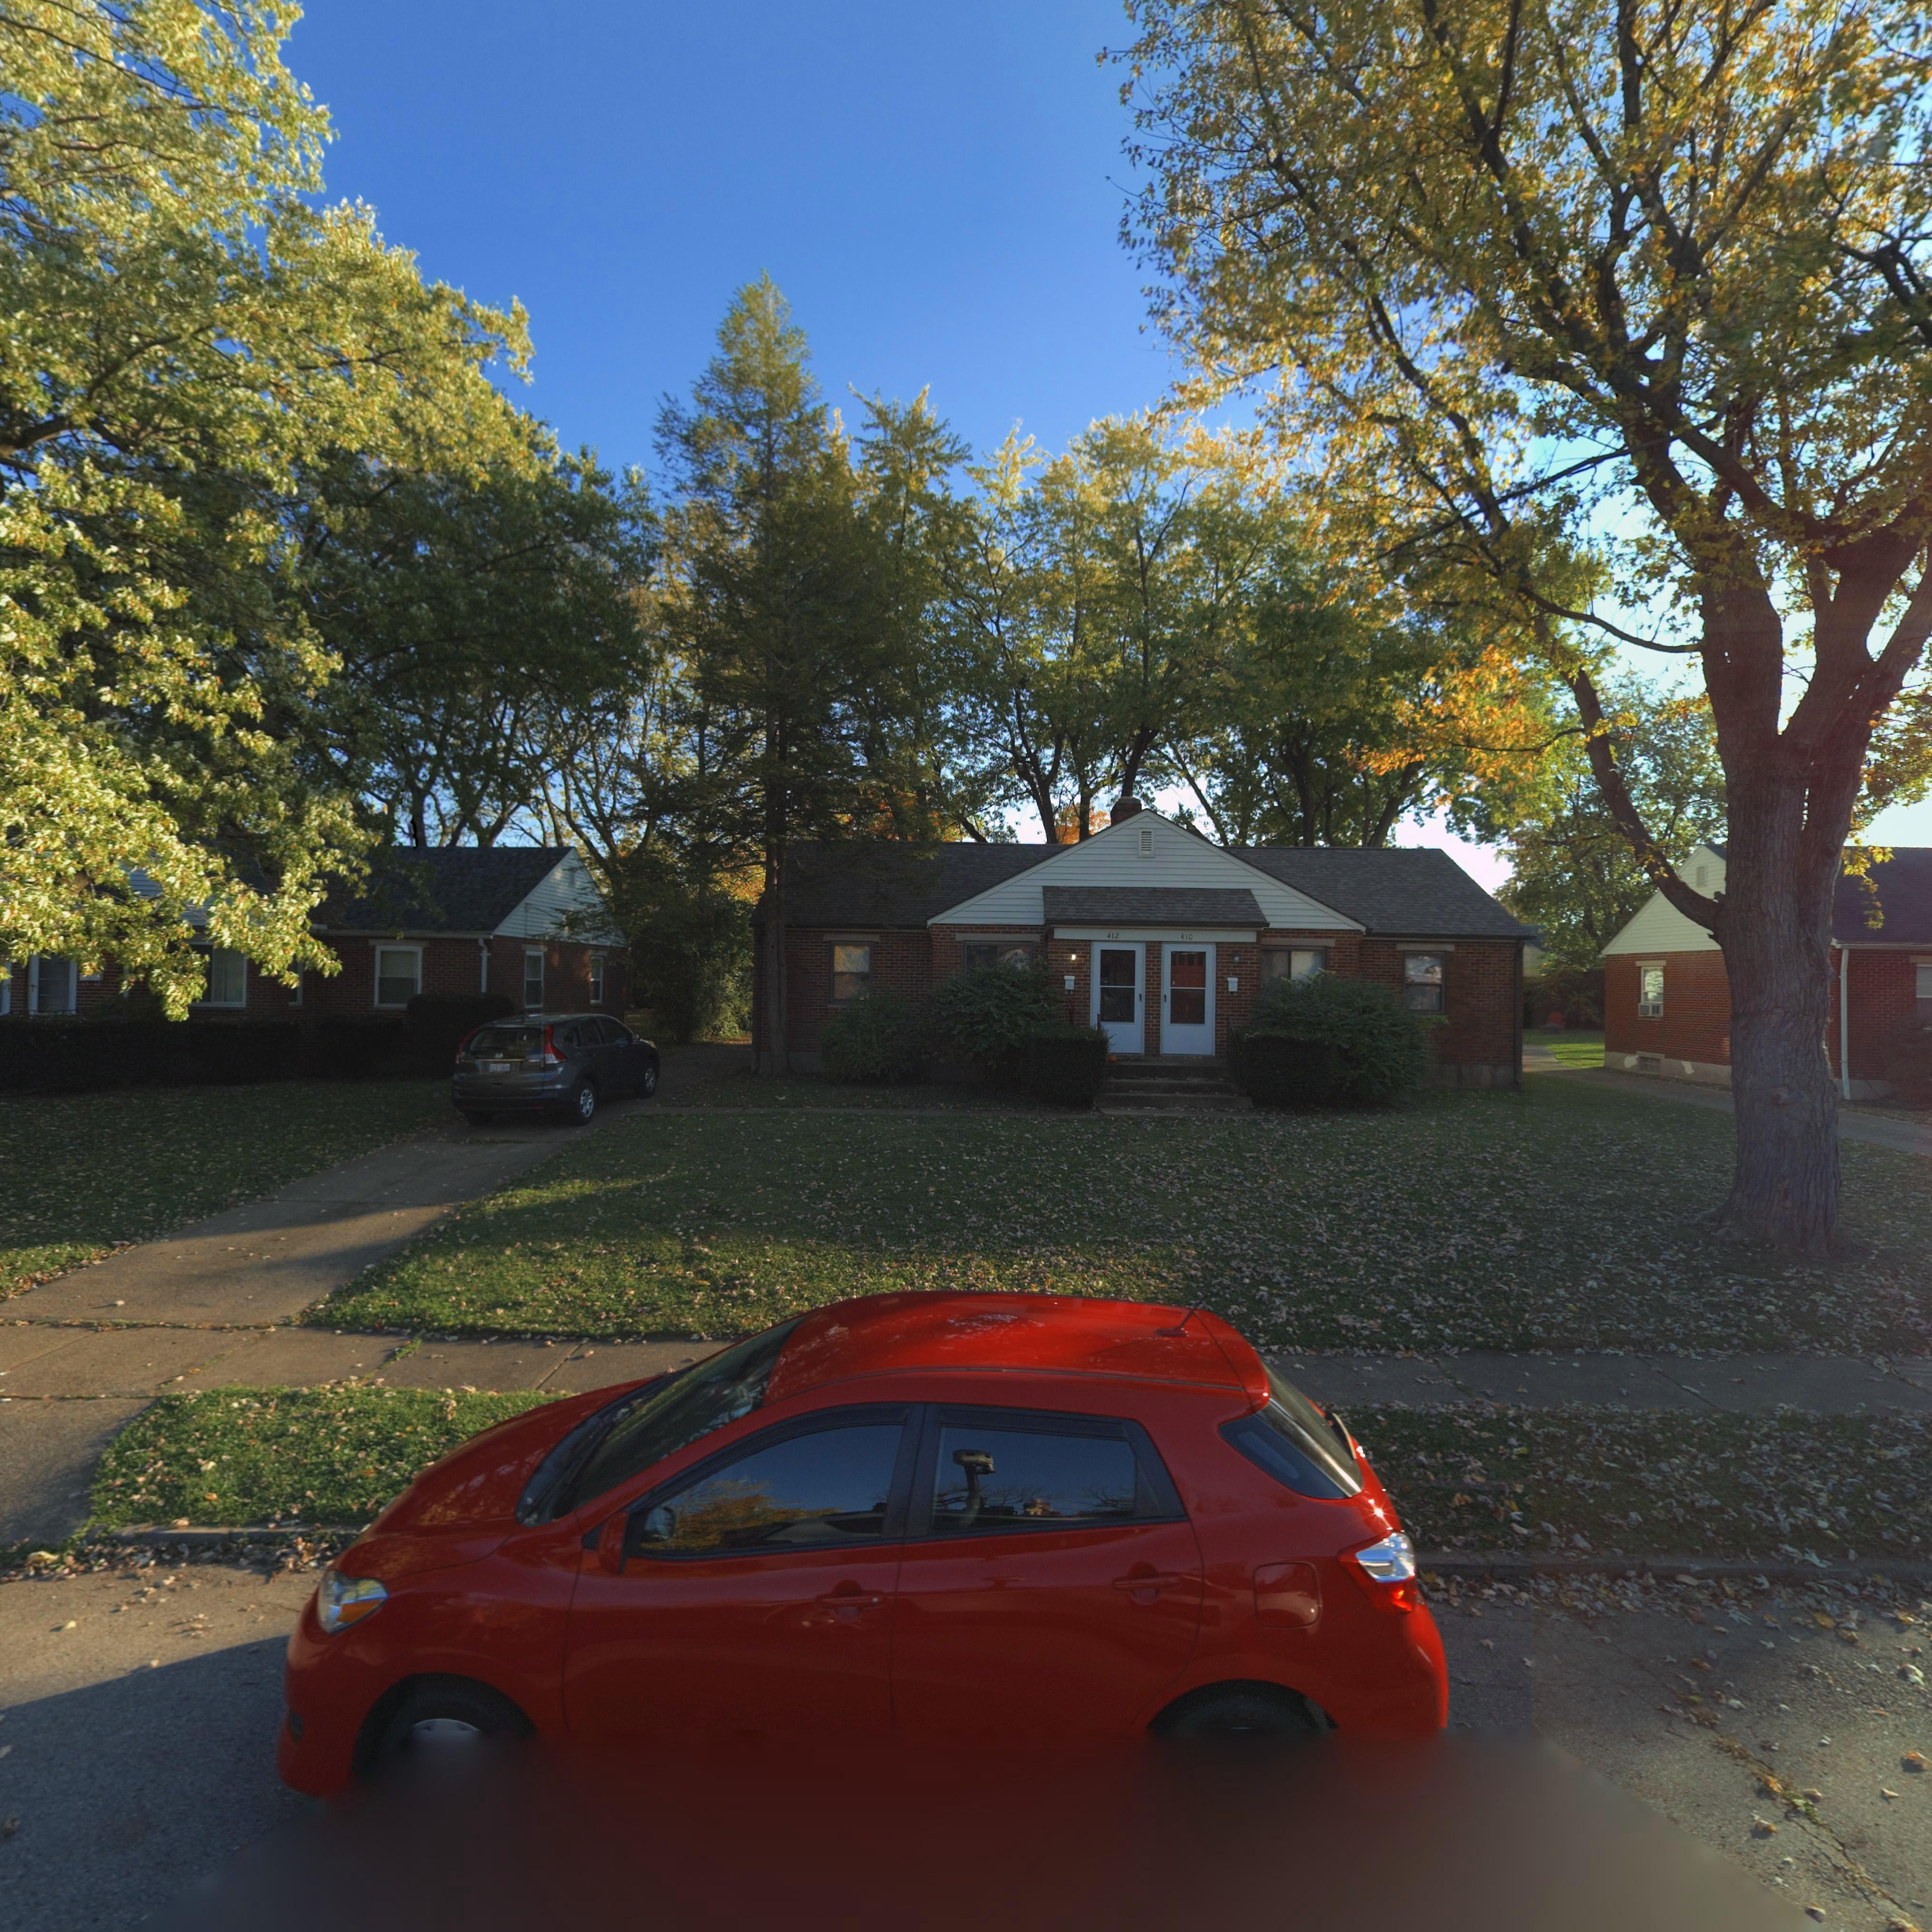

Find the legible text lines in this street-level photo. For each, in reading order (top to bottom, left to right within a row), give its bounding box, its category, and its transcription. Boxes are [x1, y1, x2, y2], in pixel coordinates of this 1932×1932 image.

[1106, 931, 1120, 940] StreetNumber: 412
[1179, 932, 1194, 941] StreetNumber: 410